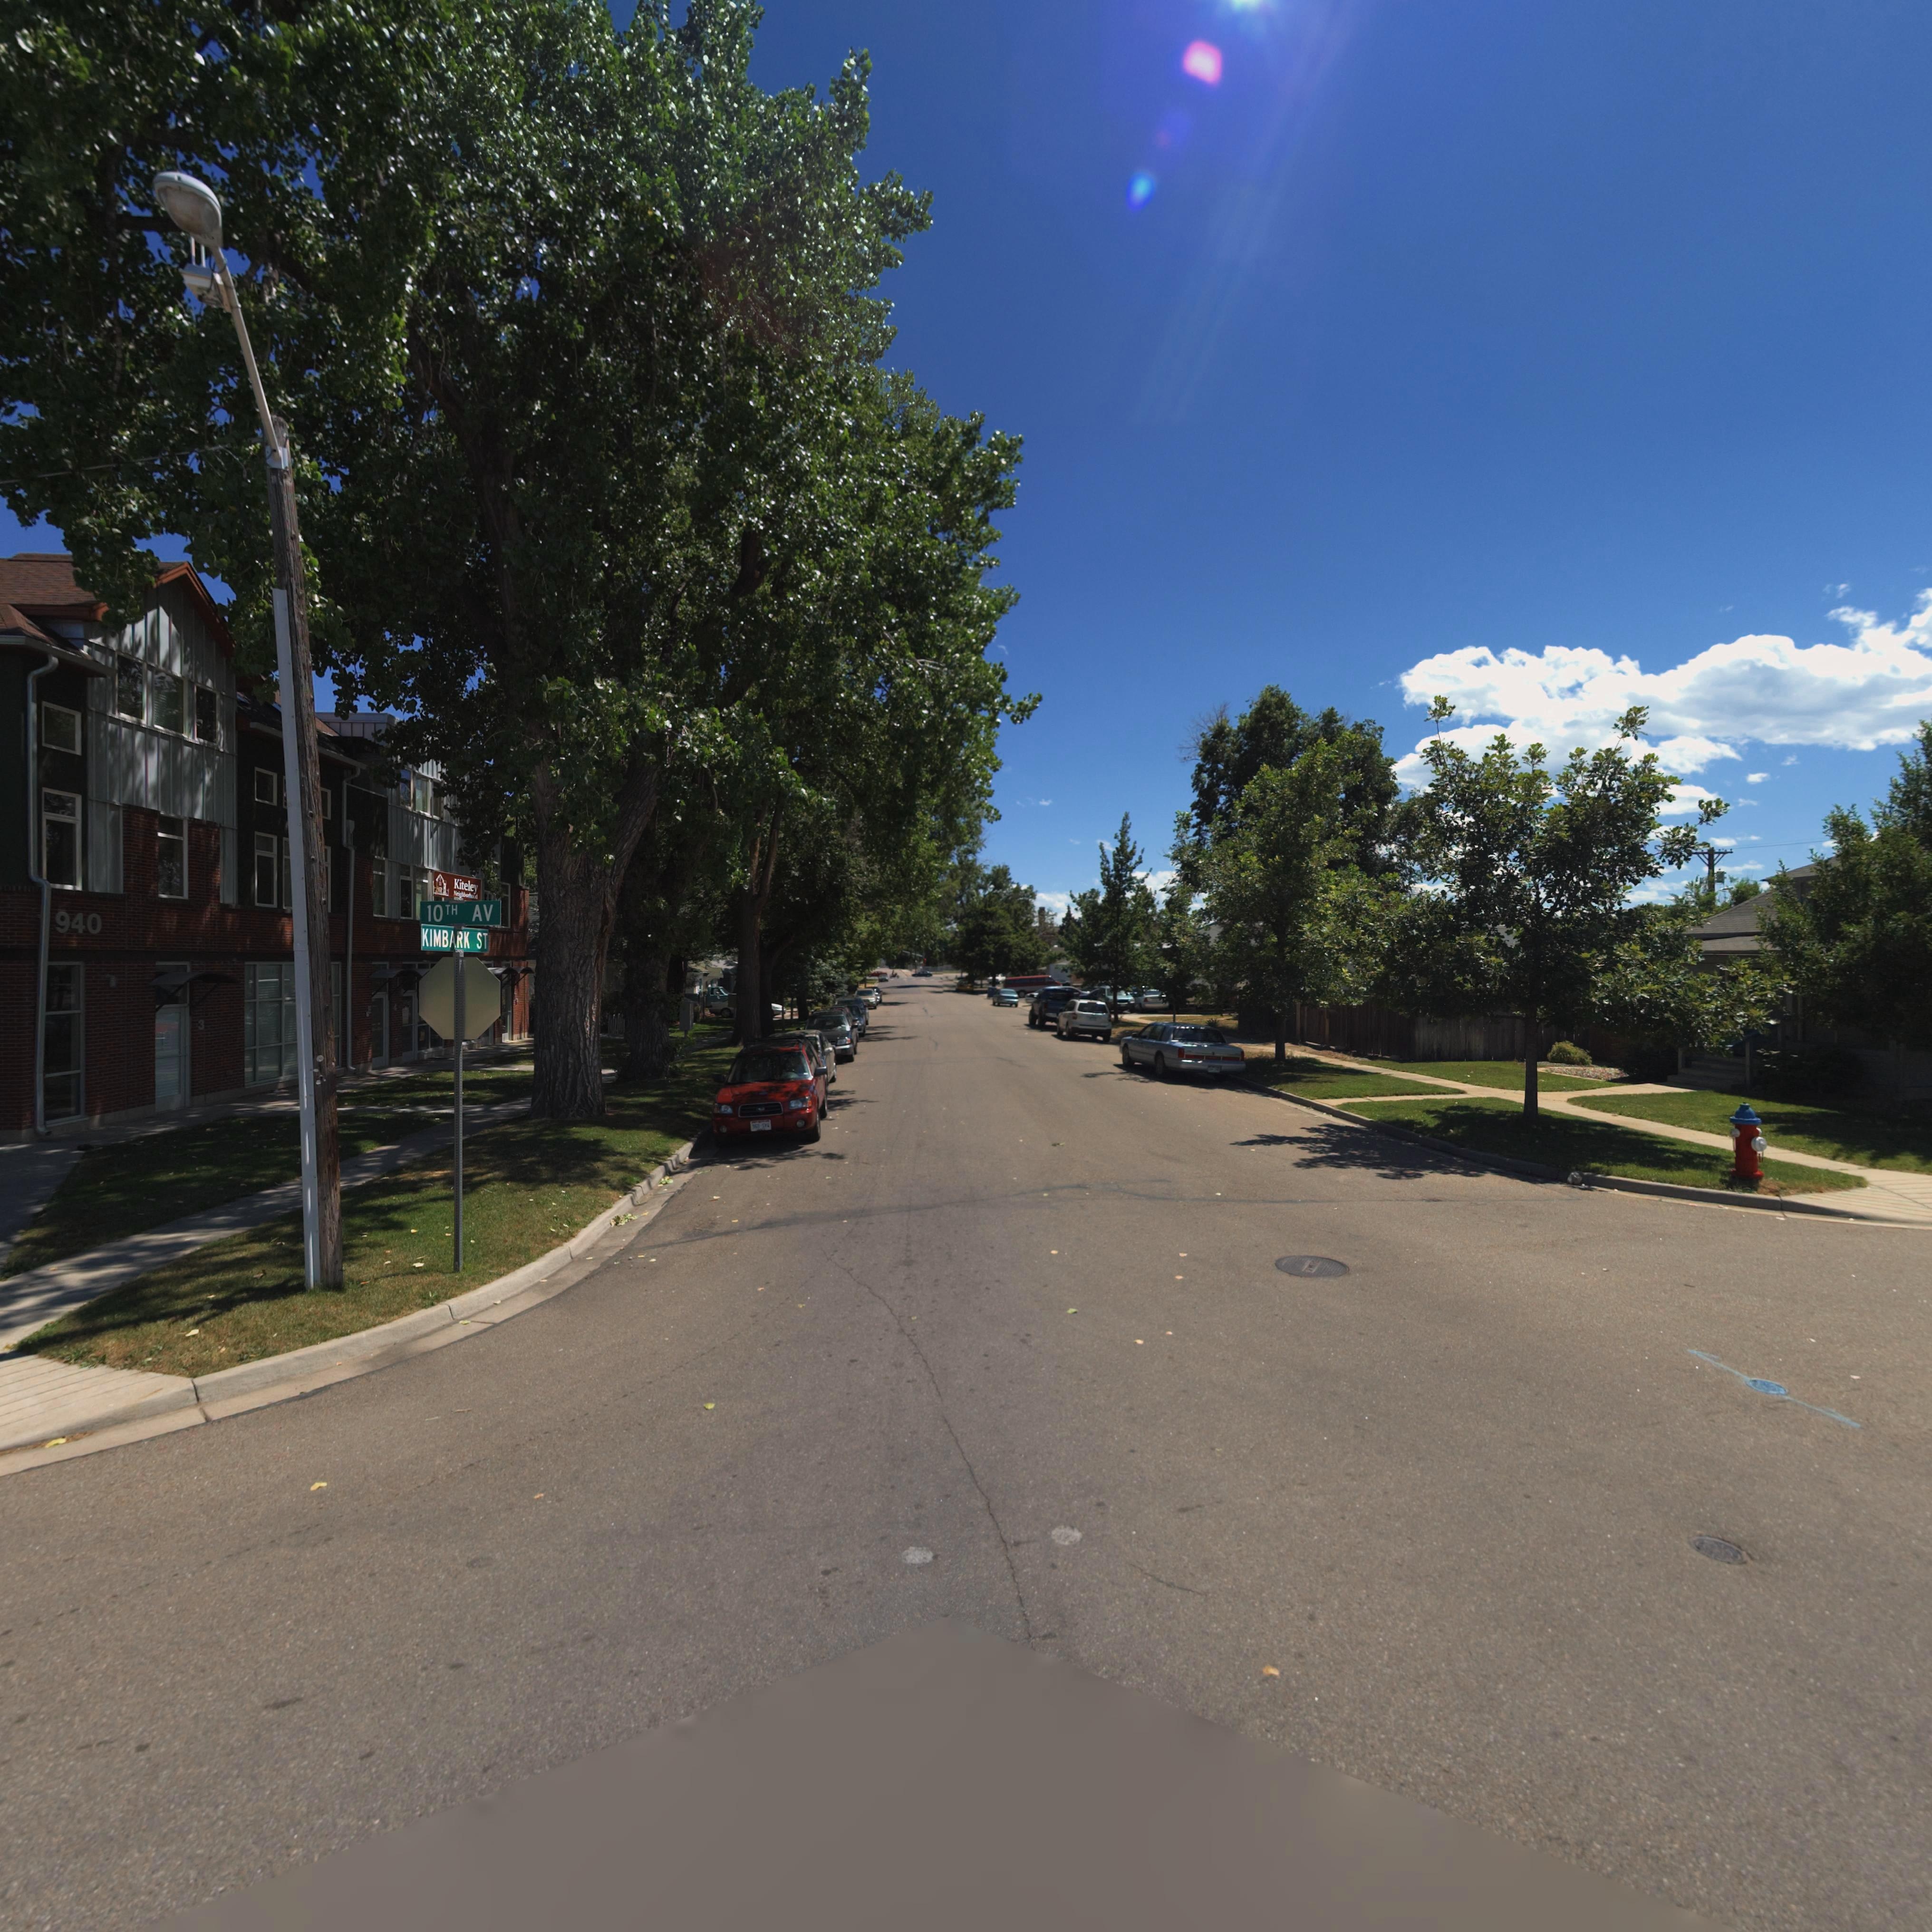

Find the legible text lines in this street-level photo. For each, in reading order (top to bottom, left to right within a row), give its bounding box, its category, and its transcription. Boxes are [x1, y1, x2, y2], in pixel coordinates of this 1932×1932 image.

[54, 910, 102, 935] StreetNumber: 940
[427, 904, 493, 922] StreetName: 10TH AV
[422, 928, 488, 949] StreetName: KIMBARK ST